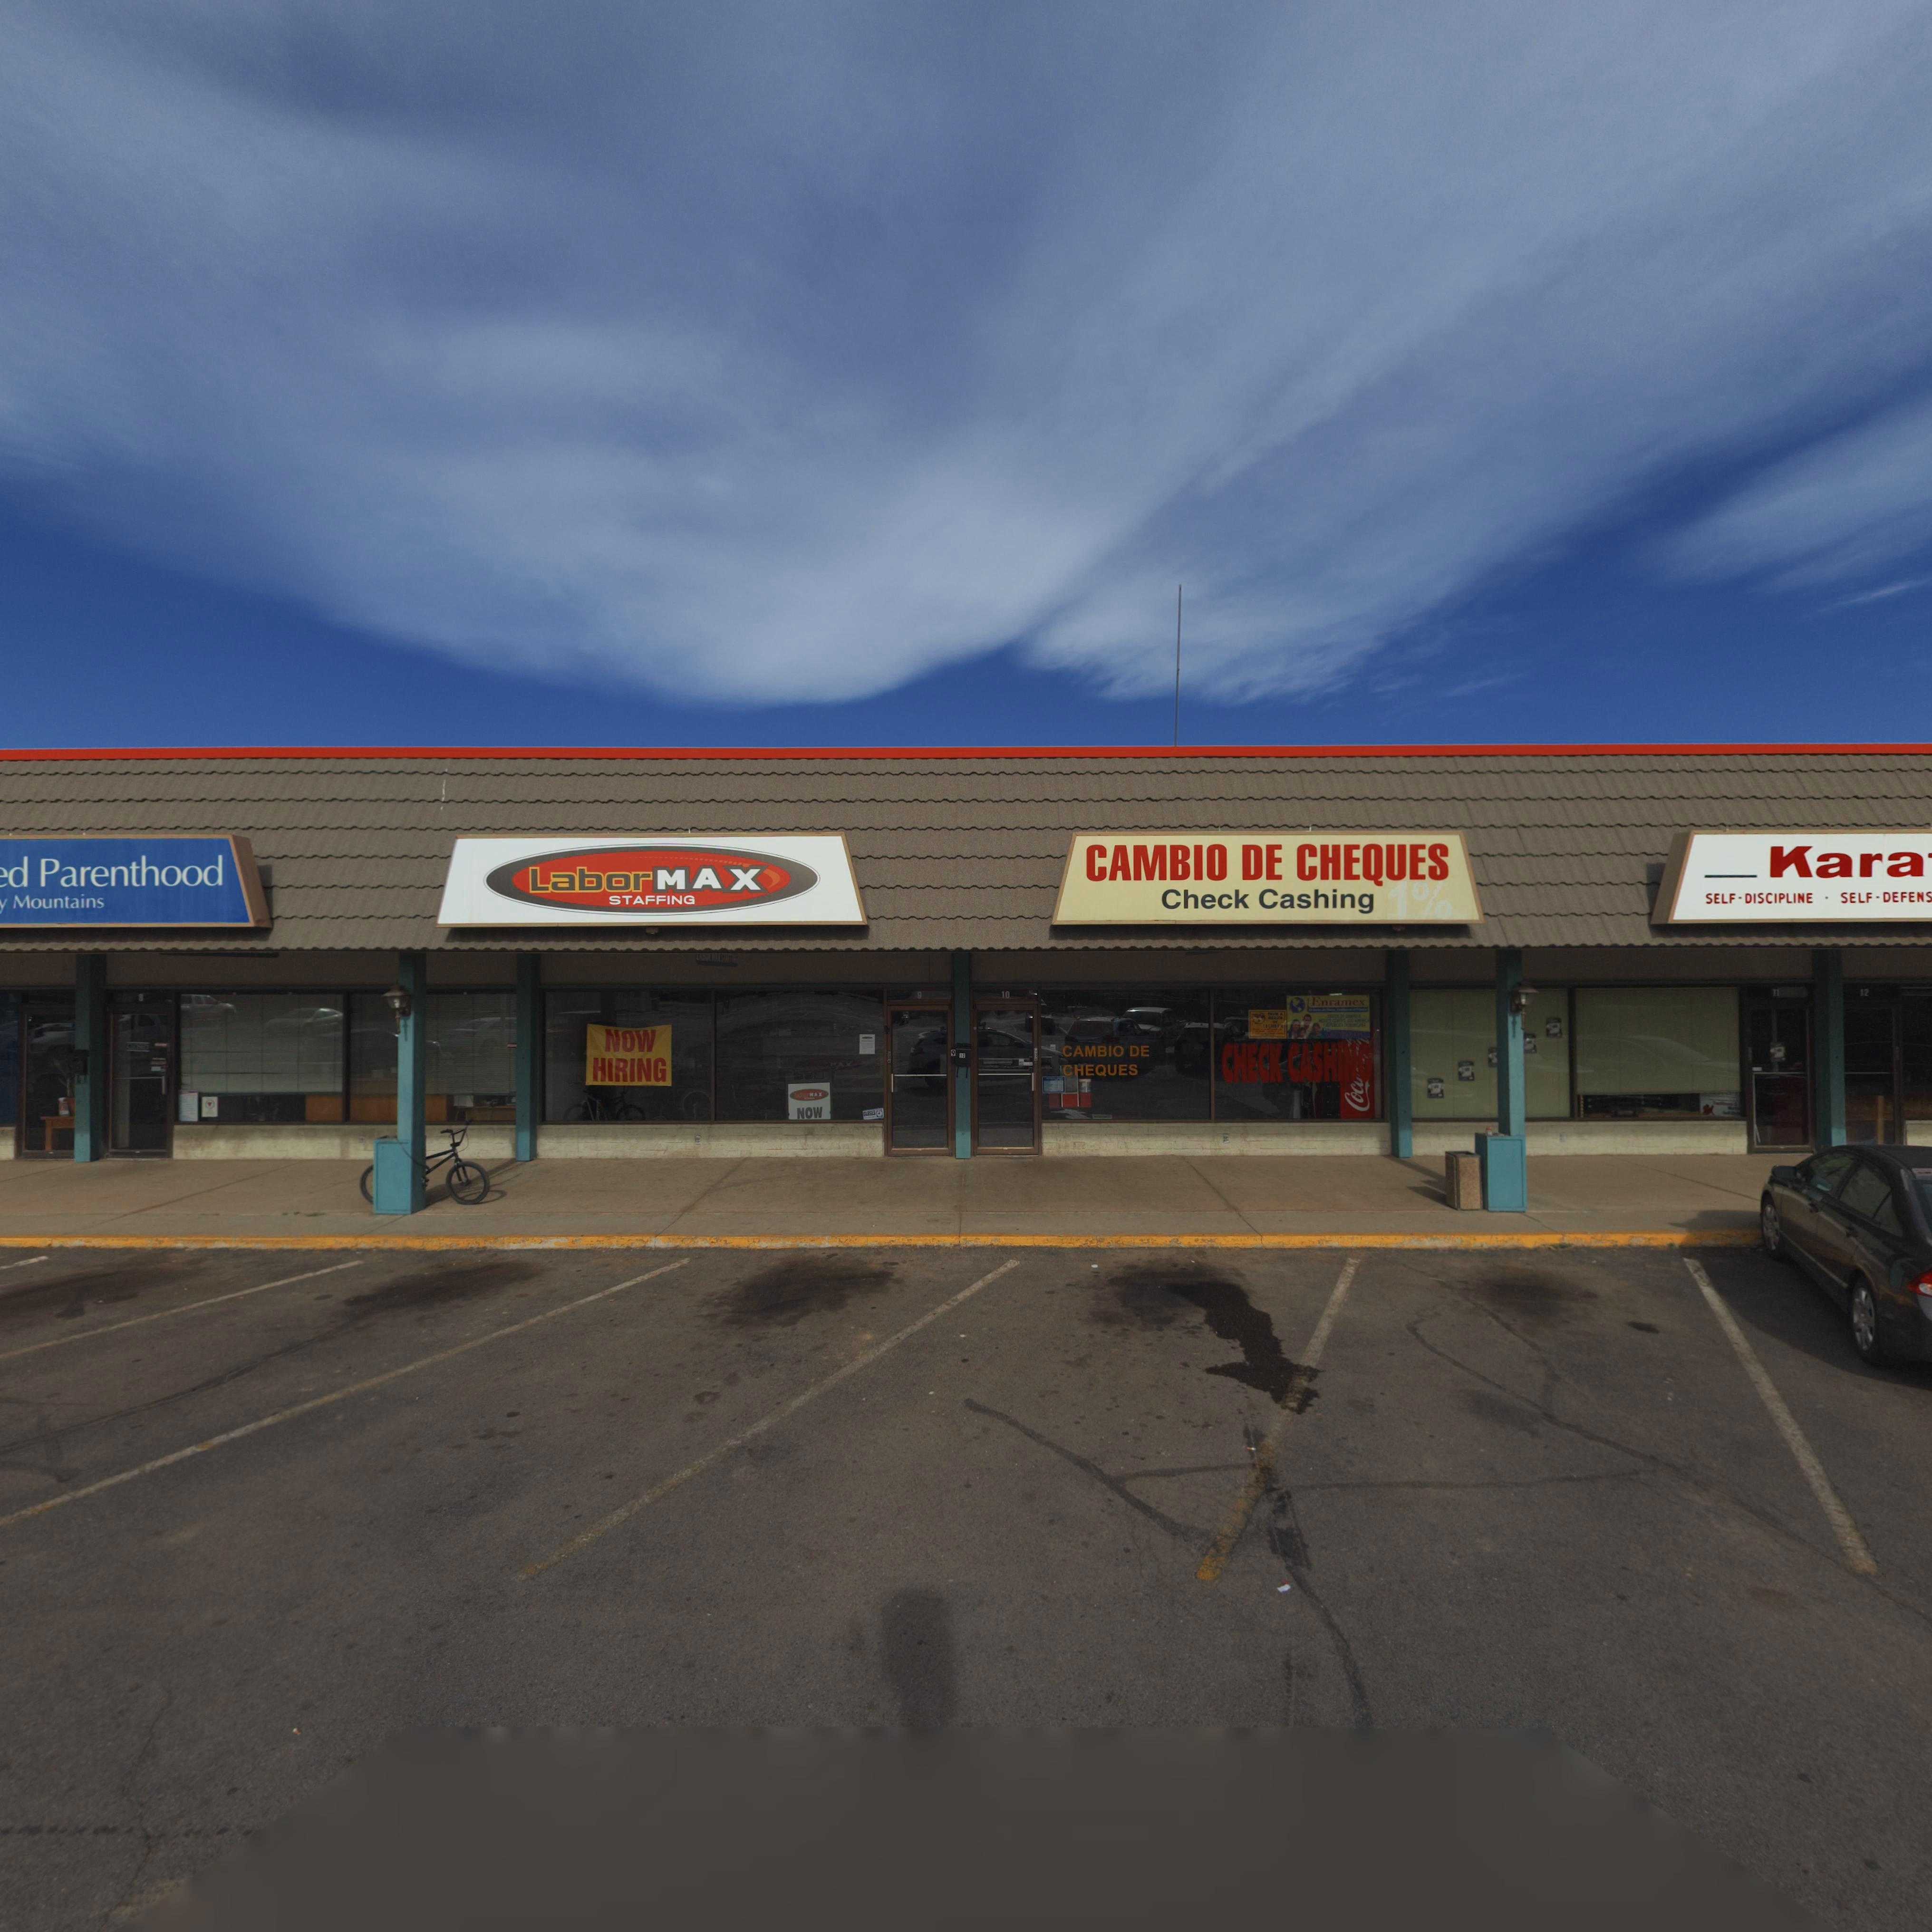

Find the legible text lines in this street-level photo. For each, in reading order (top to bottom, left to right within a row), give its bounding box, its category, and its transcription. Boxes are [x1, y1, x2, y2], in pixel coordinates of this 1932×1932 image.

[6, 852, 223, 888] BusinessName: d Parenthood
[1083, 841, 1450, 889] BusinessName: CAMBIO DE CHEQUES
[527, 863, 767, 894] BusinessName: LaborMAX
[607, 893, 696, 907] BusinessName: STAFFING
[138, 993, 143, 1002] StreetNumber: 8
[917, 991, 922, 999] StreetNumber: 9
[1001, 990, 1010, 999] StreetNumber: 10
[1772, 988, 1779, 997] StreetNumber: 11
[1859, 987, 1869, 996] StreetNumber: 12
[1062, 1044, 1150, 1058] BusinessName: CAMBIO DE
[1062, 1063, 1138, 1077] BusinessName: CHEQUES
[794, 1092, 822, 1098] BusinessName: *****MAX